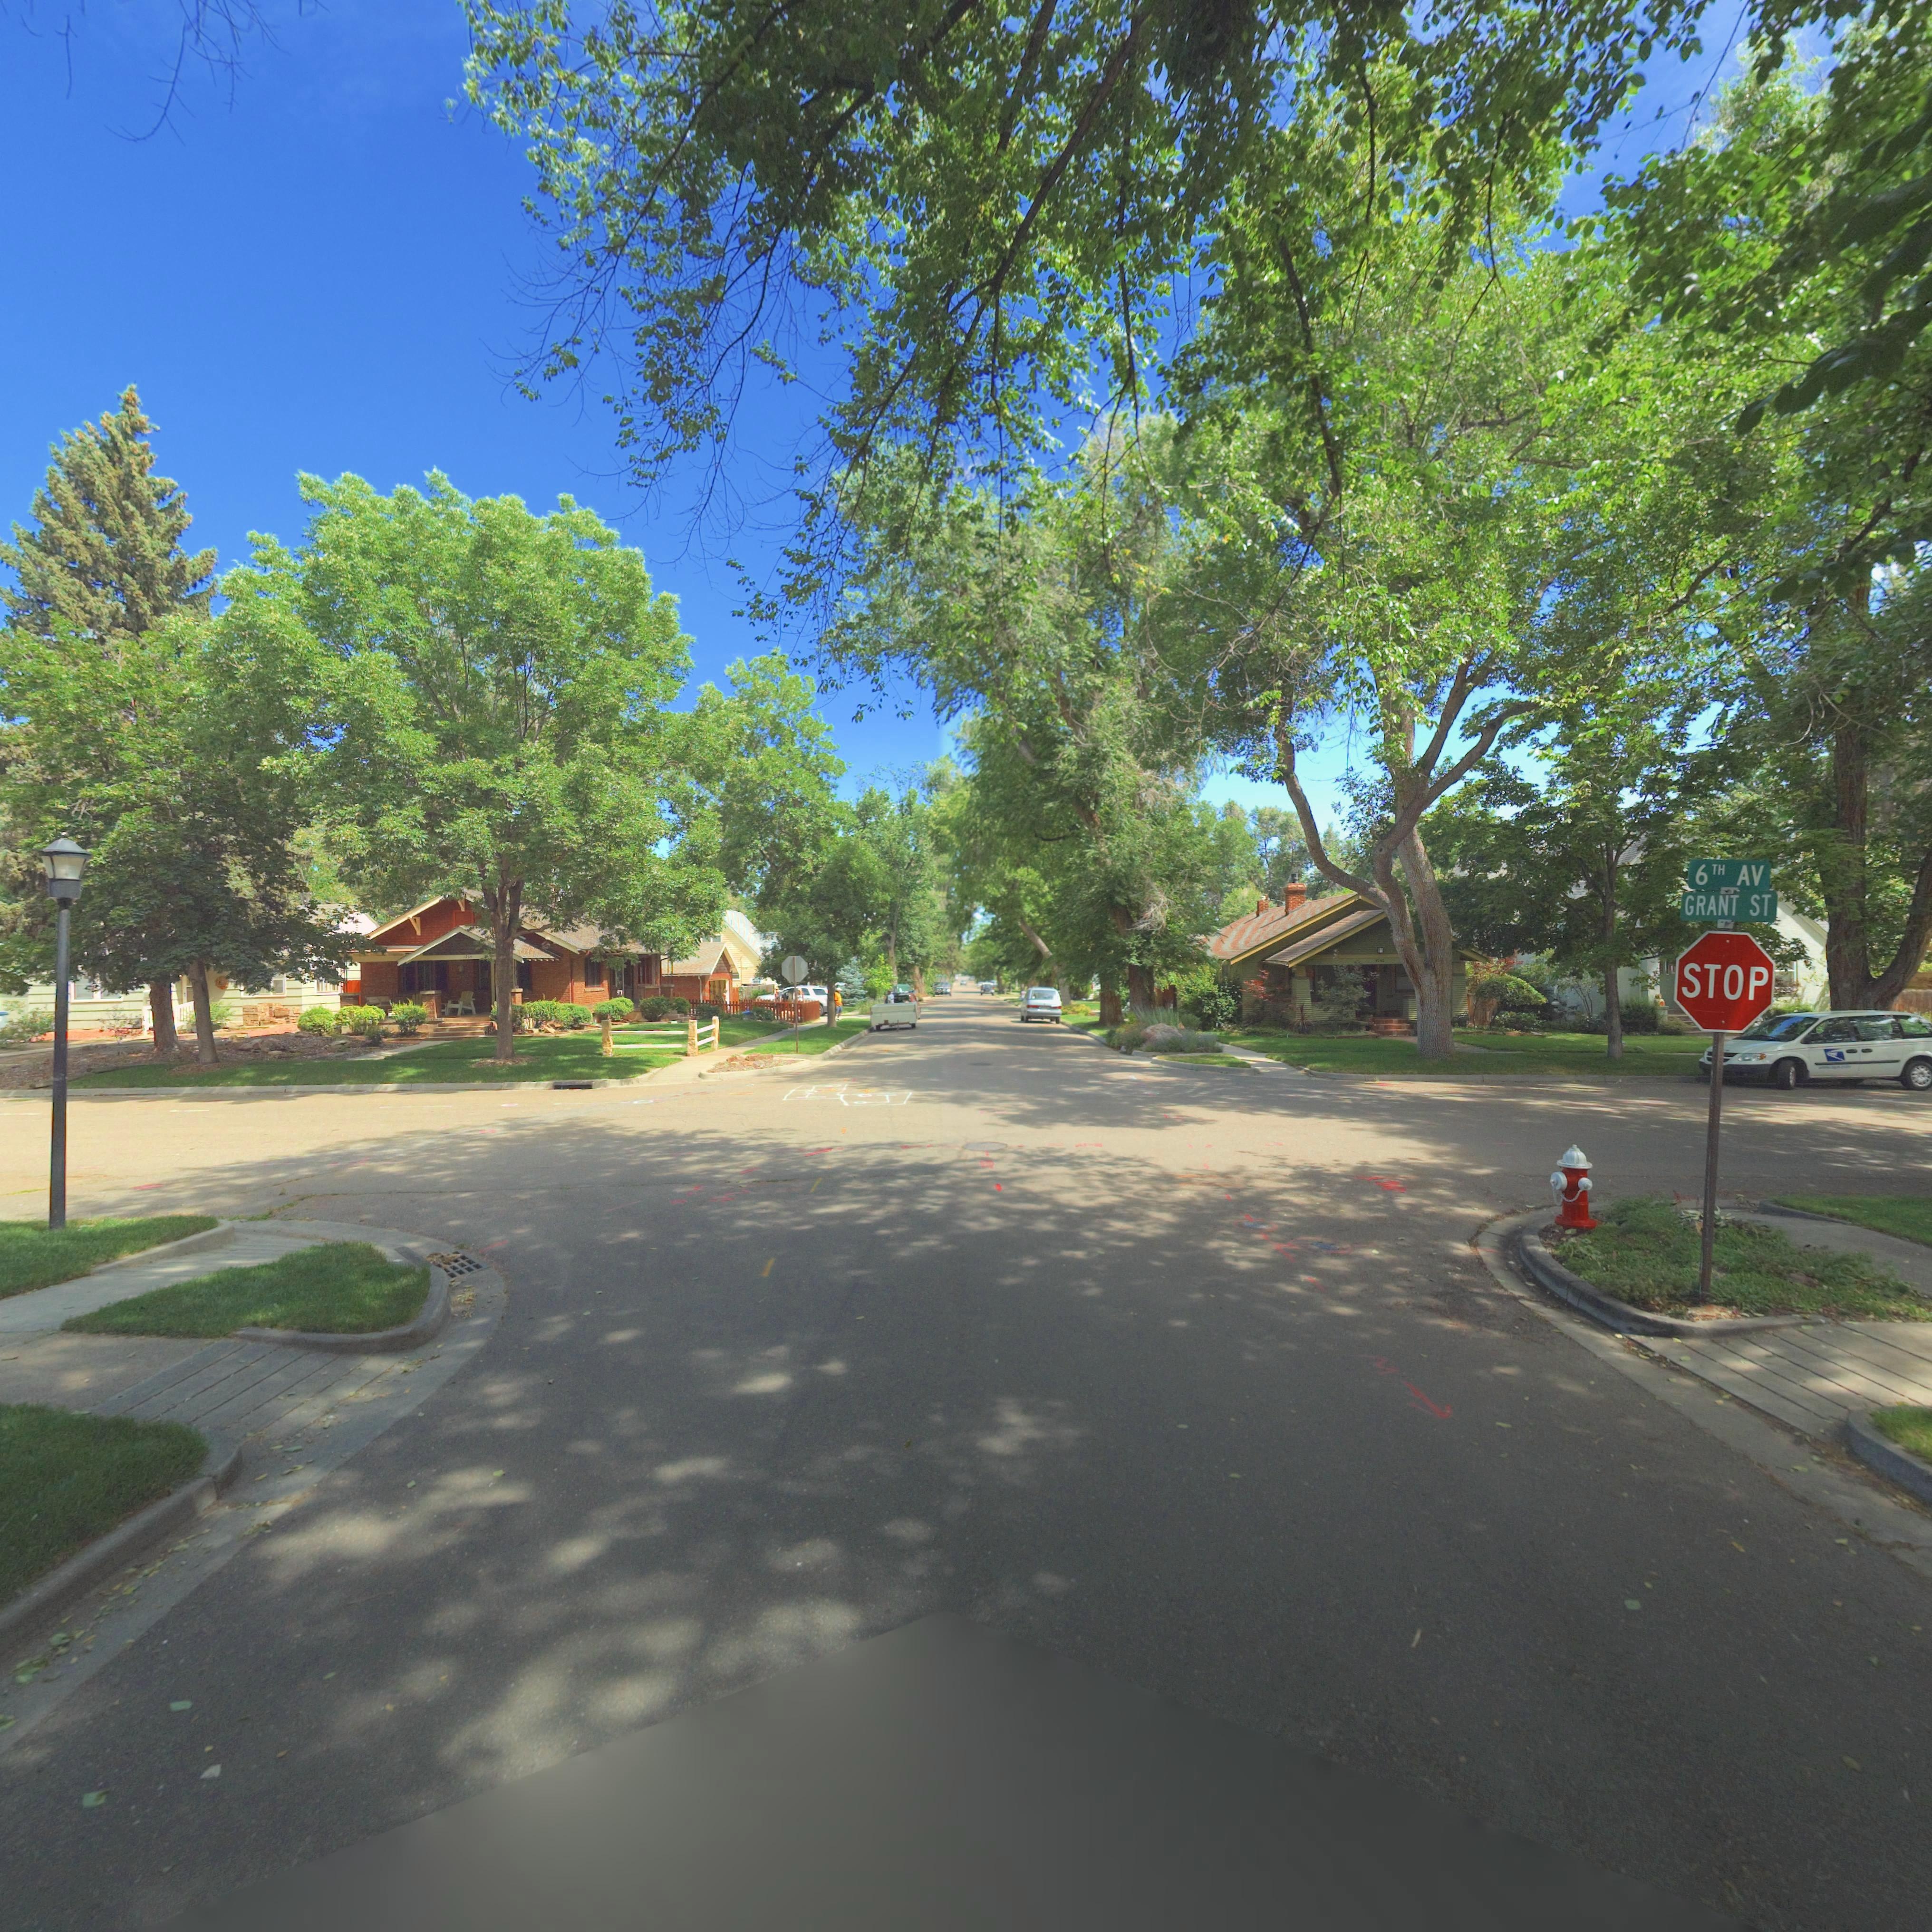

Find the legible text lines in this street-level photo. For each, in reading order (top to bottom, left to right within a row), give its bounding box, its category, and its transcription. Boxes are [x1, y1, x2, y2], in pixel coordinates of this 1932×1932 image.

[1694, 863, 1766, 887] StreetName: 6TH AV
[1684, 893, 1772, 917] StreetName: GRANT ST
[464, 955, 473, 959] StreetNumber: *3*
[1375, 958, 1384, 962] StreetNumber: 12*6